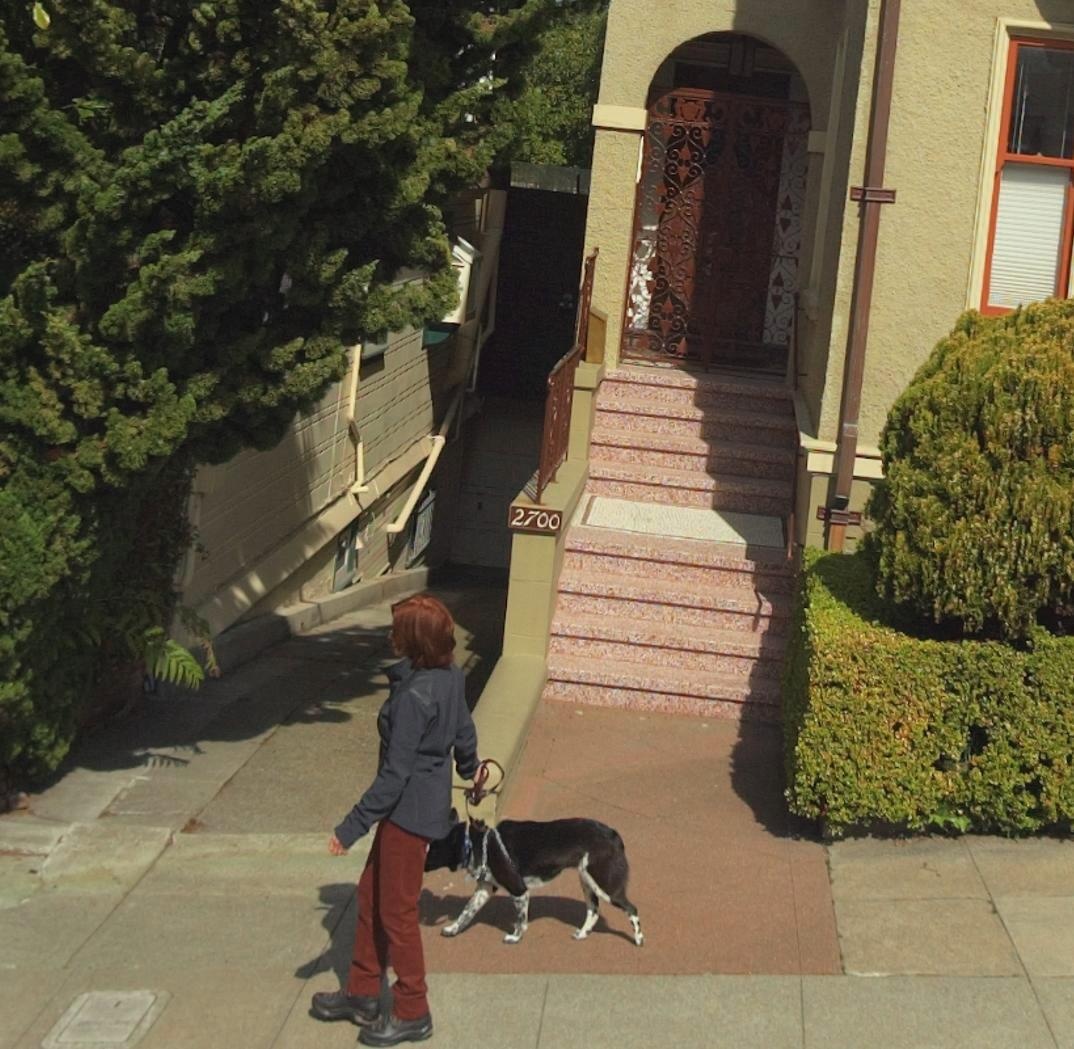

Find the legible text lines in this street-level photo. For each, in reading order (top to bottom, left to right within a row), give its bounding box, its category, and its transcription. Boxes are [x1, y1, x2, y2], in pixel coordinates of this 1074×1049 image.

[507, 506, 562, 533] StreetNumber: 2700